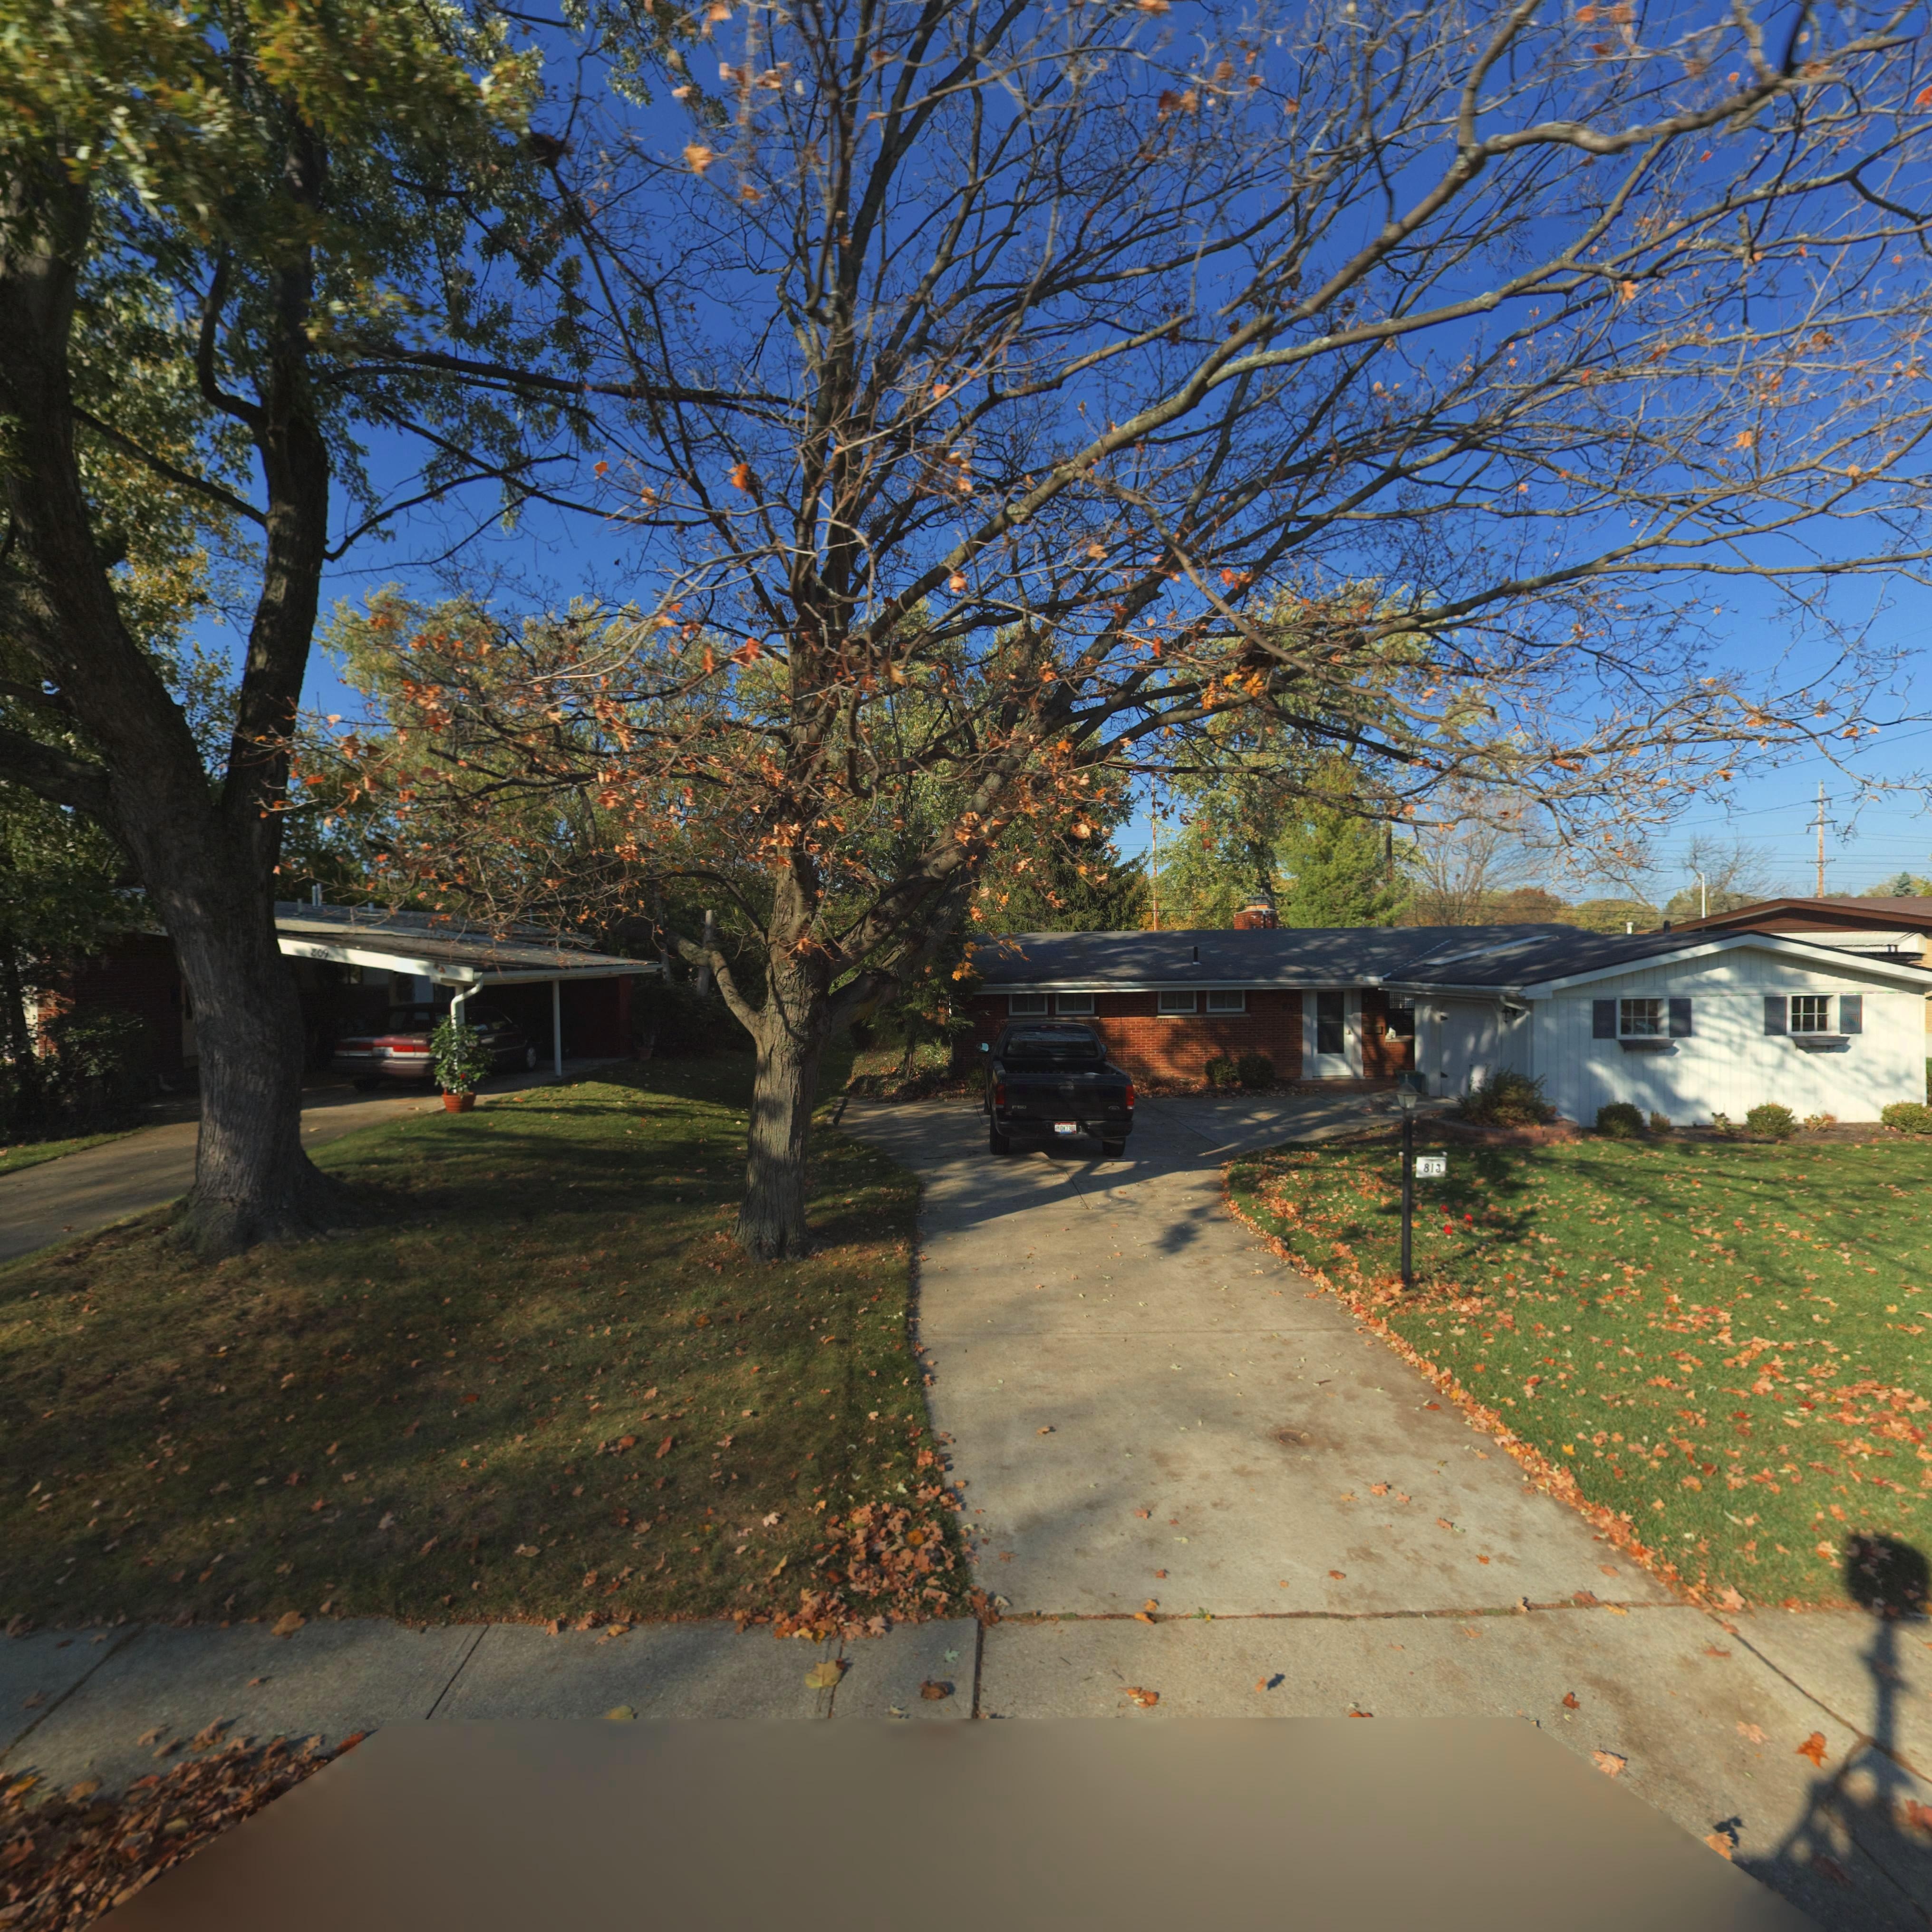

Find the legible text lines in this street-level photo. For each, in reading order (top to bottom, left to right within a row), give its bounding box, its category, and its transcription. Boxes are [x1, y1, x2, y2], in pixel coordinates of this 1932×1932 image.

[309, 947, 329, 959] StreetNumber: 809
[1422, 1162, 1442, 1174] StreetNumber: 813